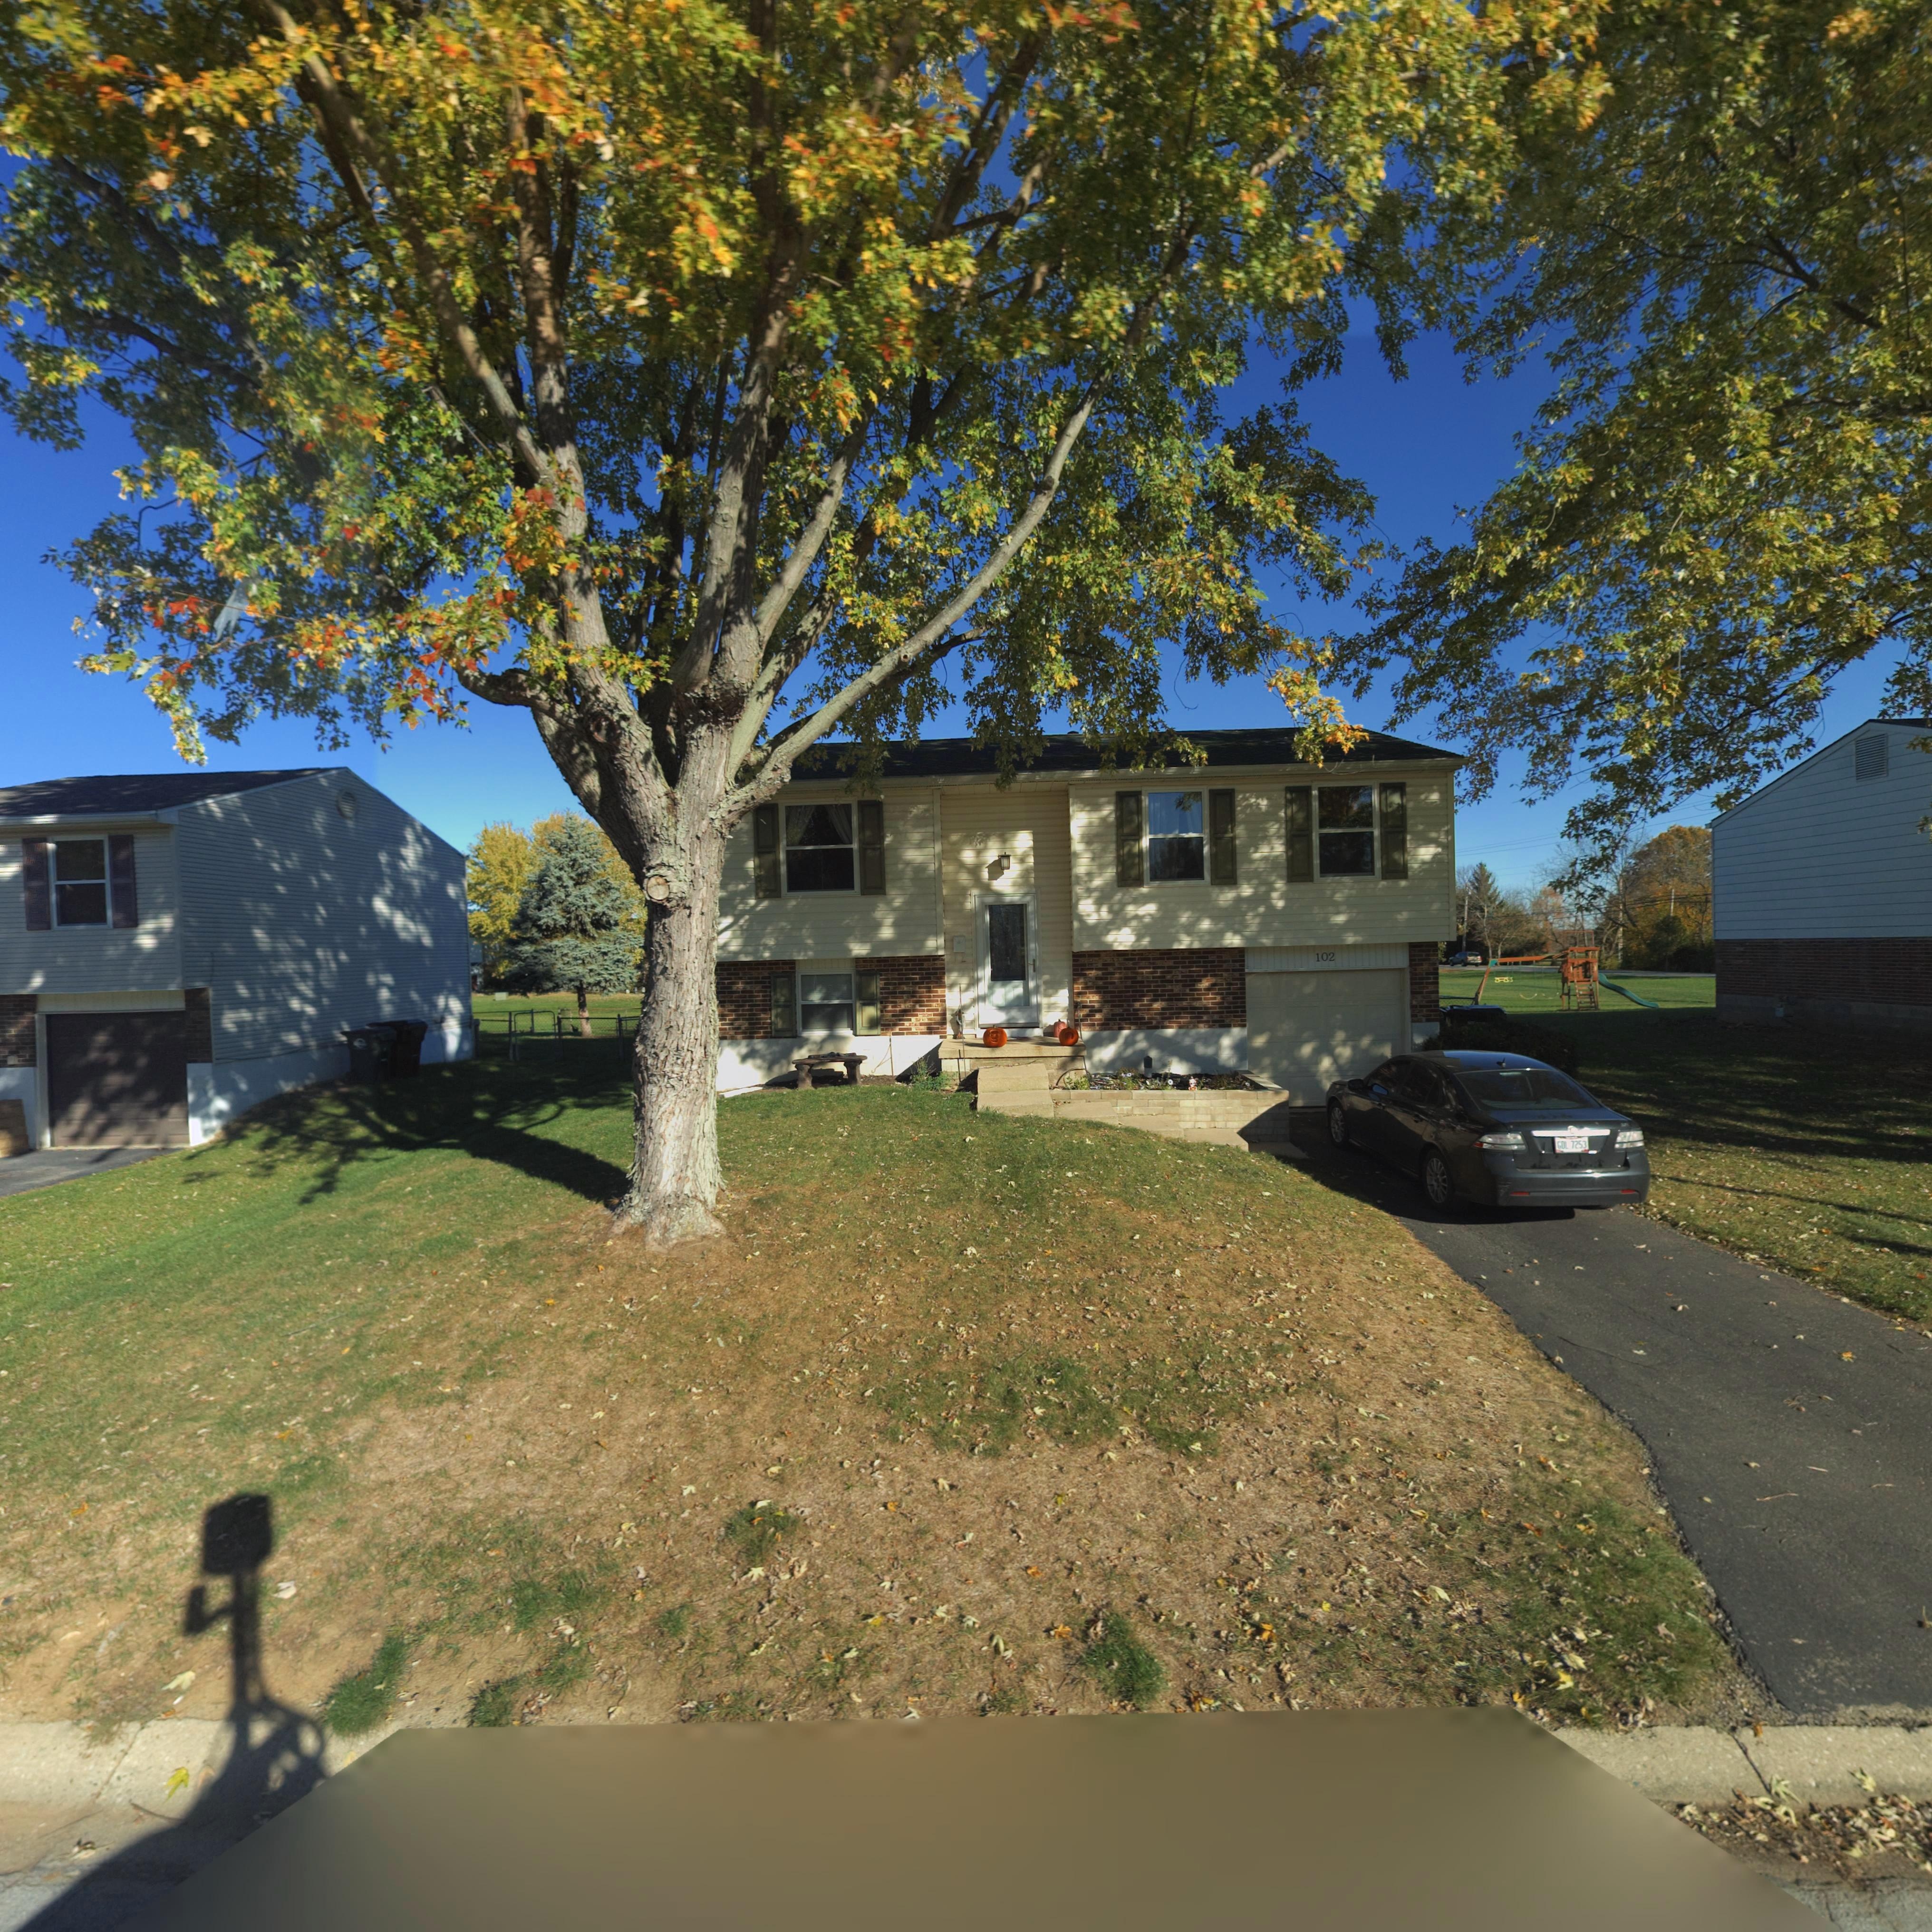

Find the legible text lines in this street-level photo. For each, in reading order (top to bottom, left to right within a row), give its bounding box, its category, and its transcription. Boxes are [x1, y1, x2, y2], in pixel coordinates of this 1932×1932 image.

[1315, 951, 1335, 962] StreetNumber: 102